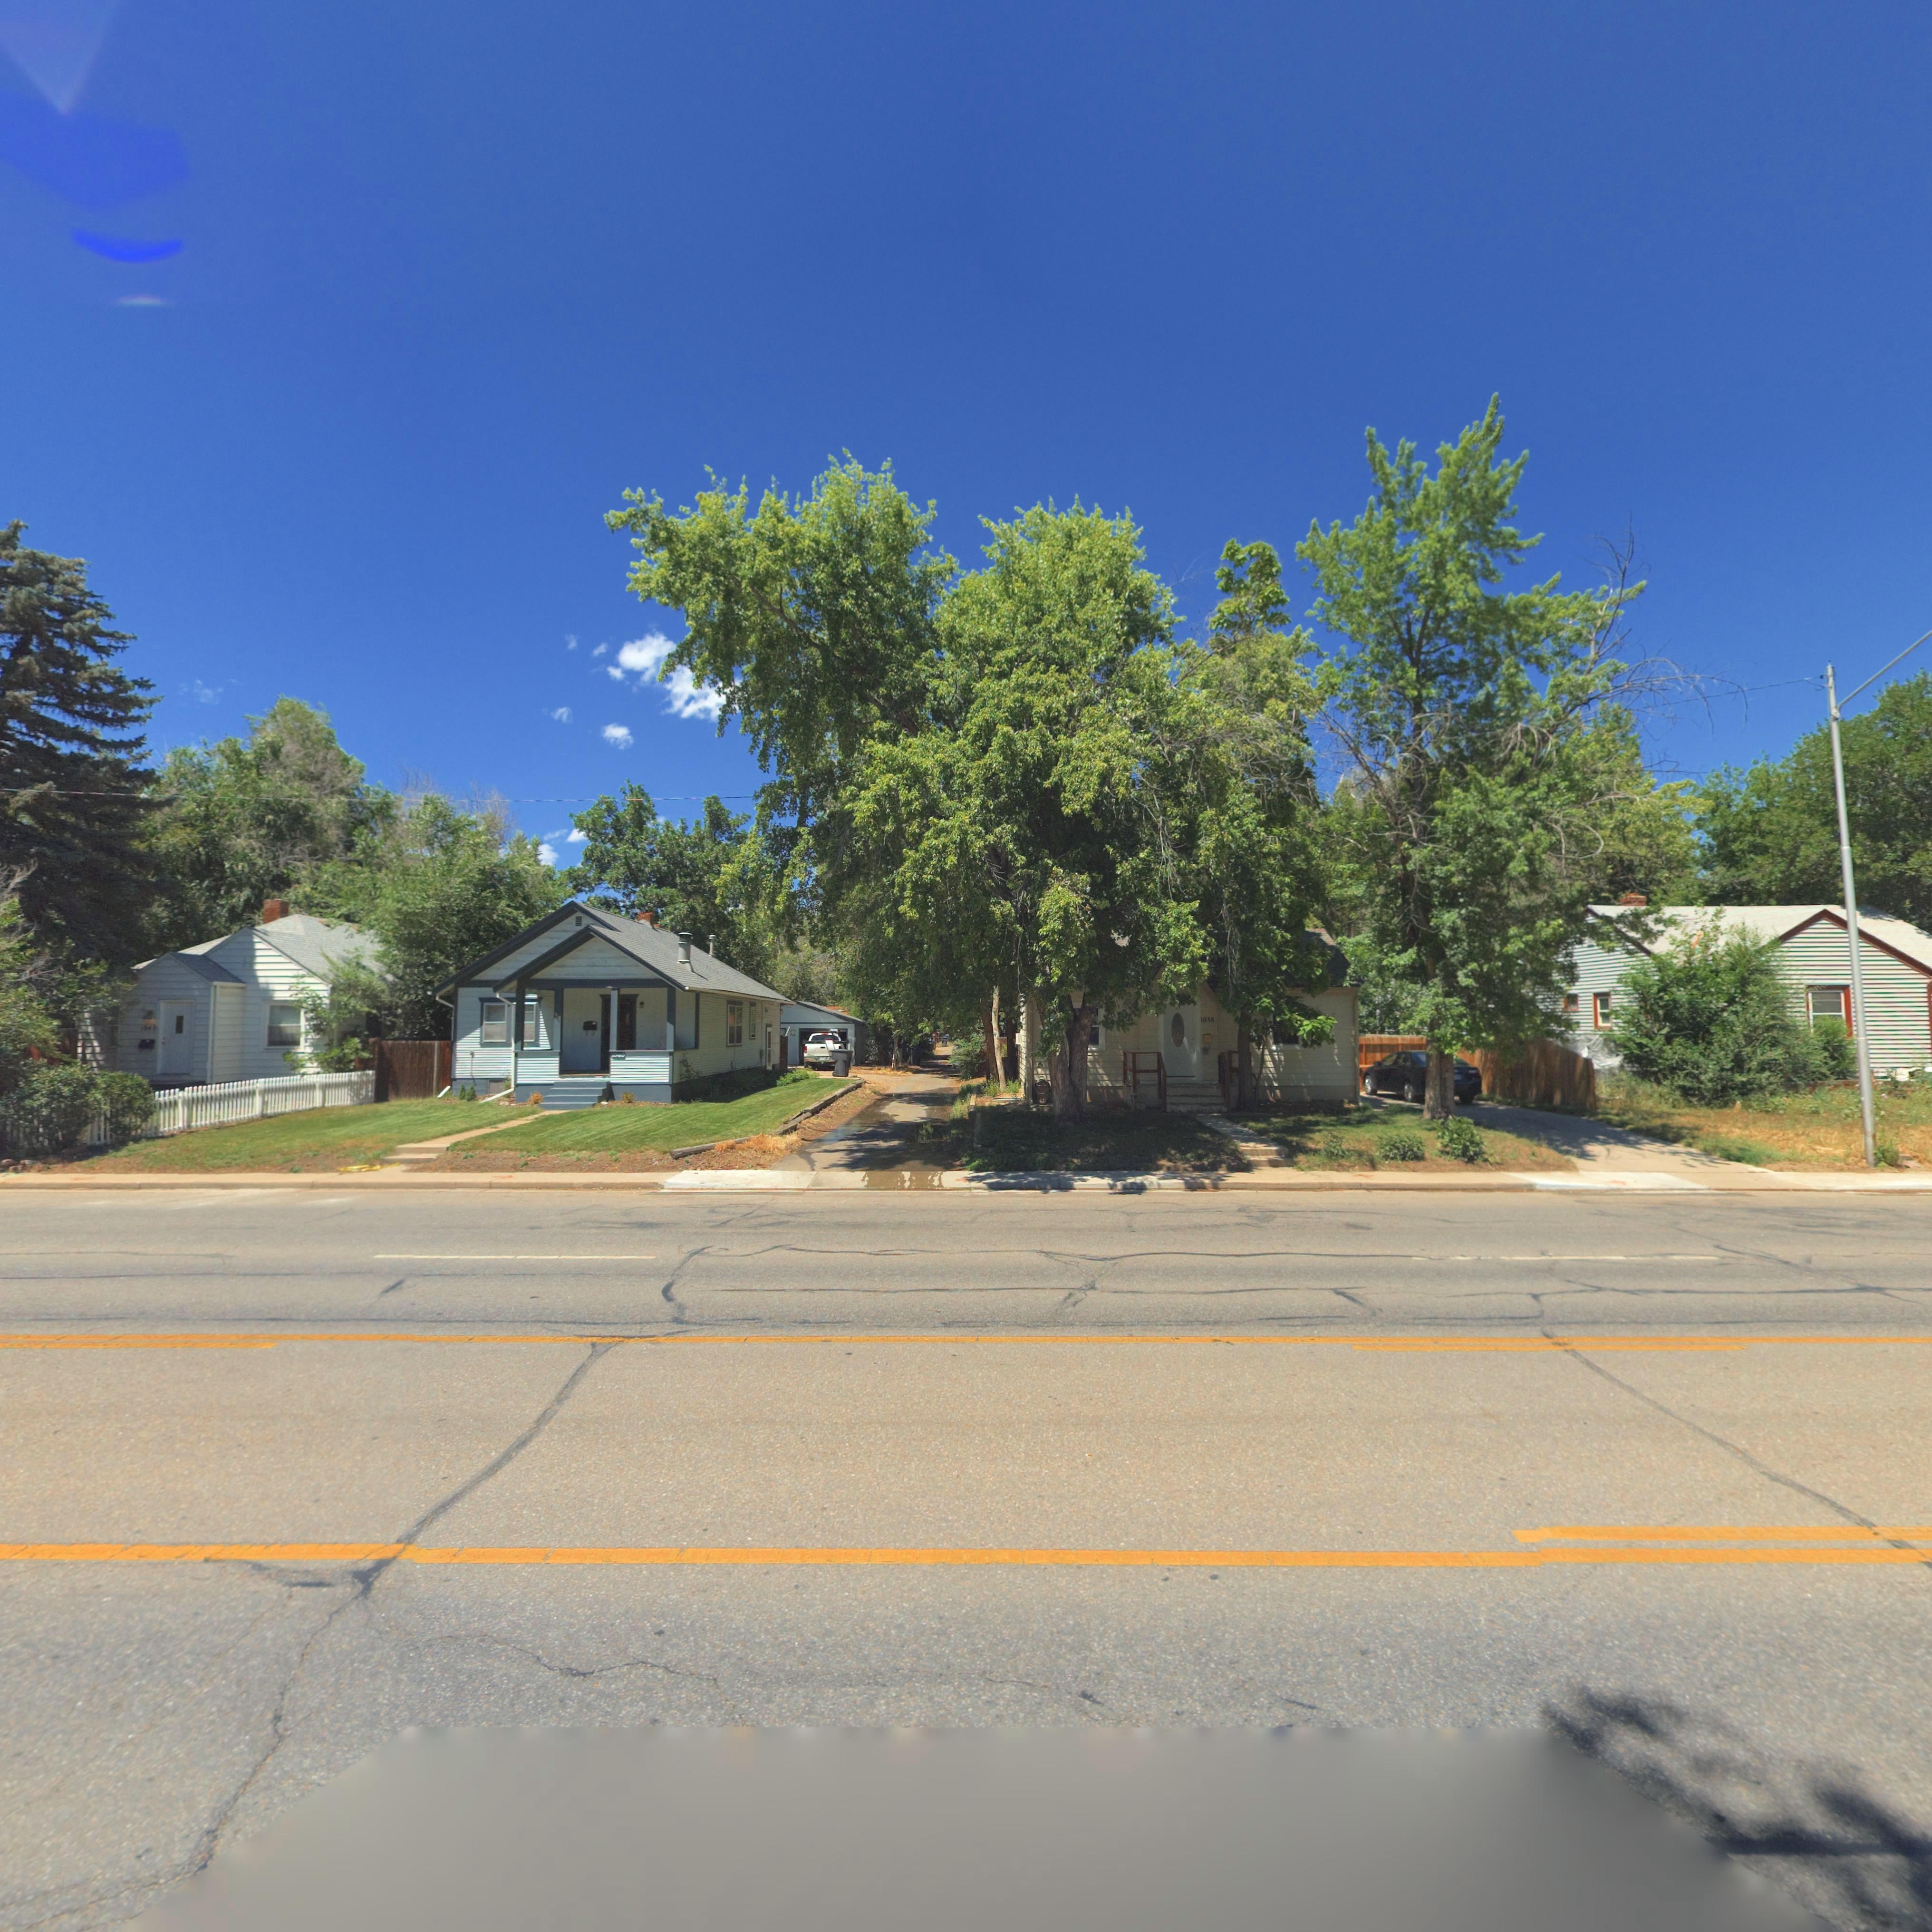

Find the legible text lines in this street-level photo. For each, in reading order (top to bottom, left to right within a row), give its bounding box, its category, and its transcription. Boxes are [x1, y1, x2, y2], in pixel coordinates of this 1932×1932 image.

[1200, 1016, 1214, 1022] StreetNumber: 1038
[140, 1024, 156, 1031] None: 10**
[611, 1052, 625, 1057] StreetNumber: 10*0